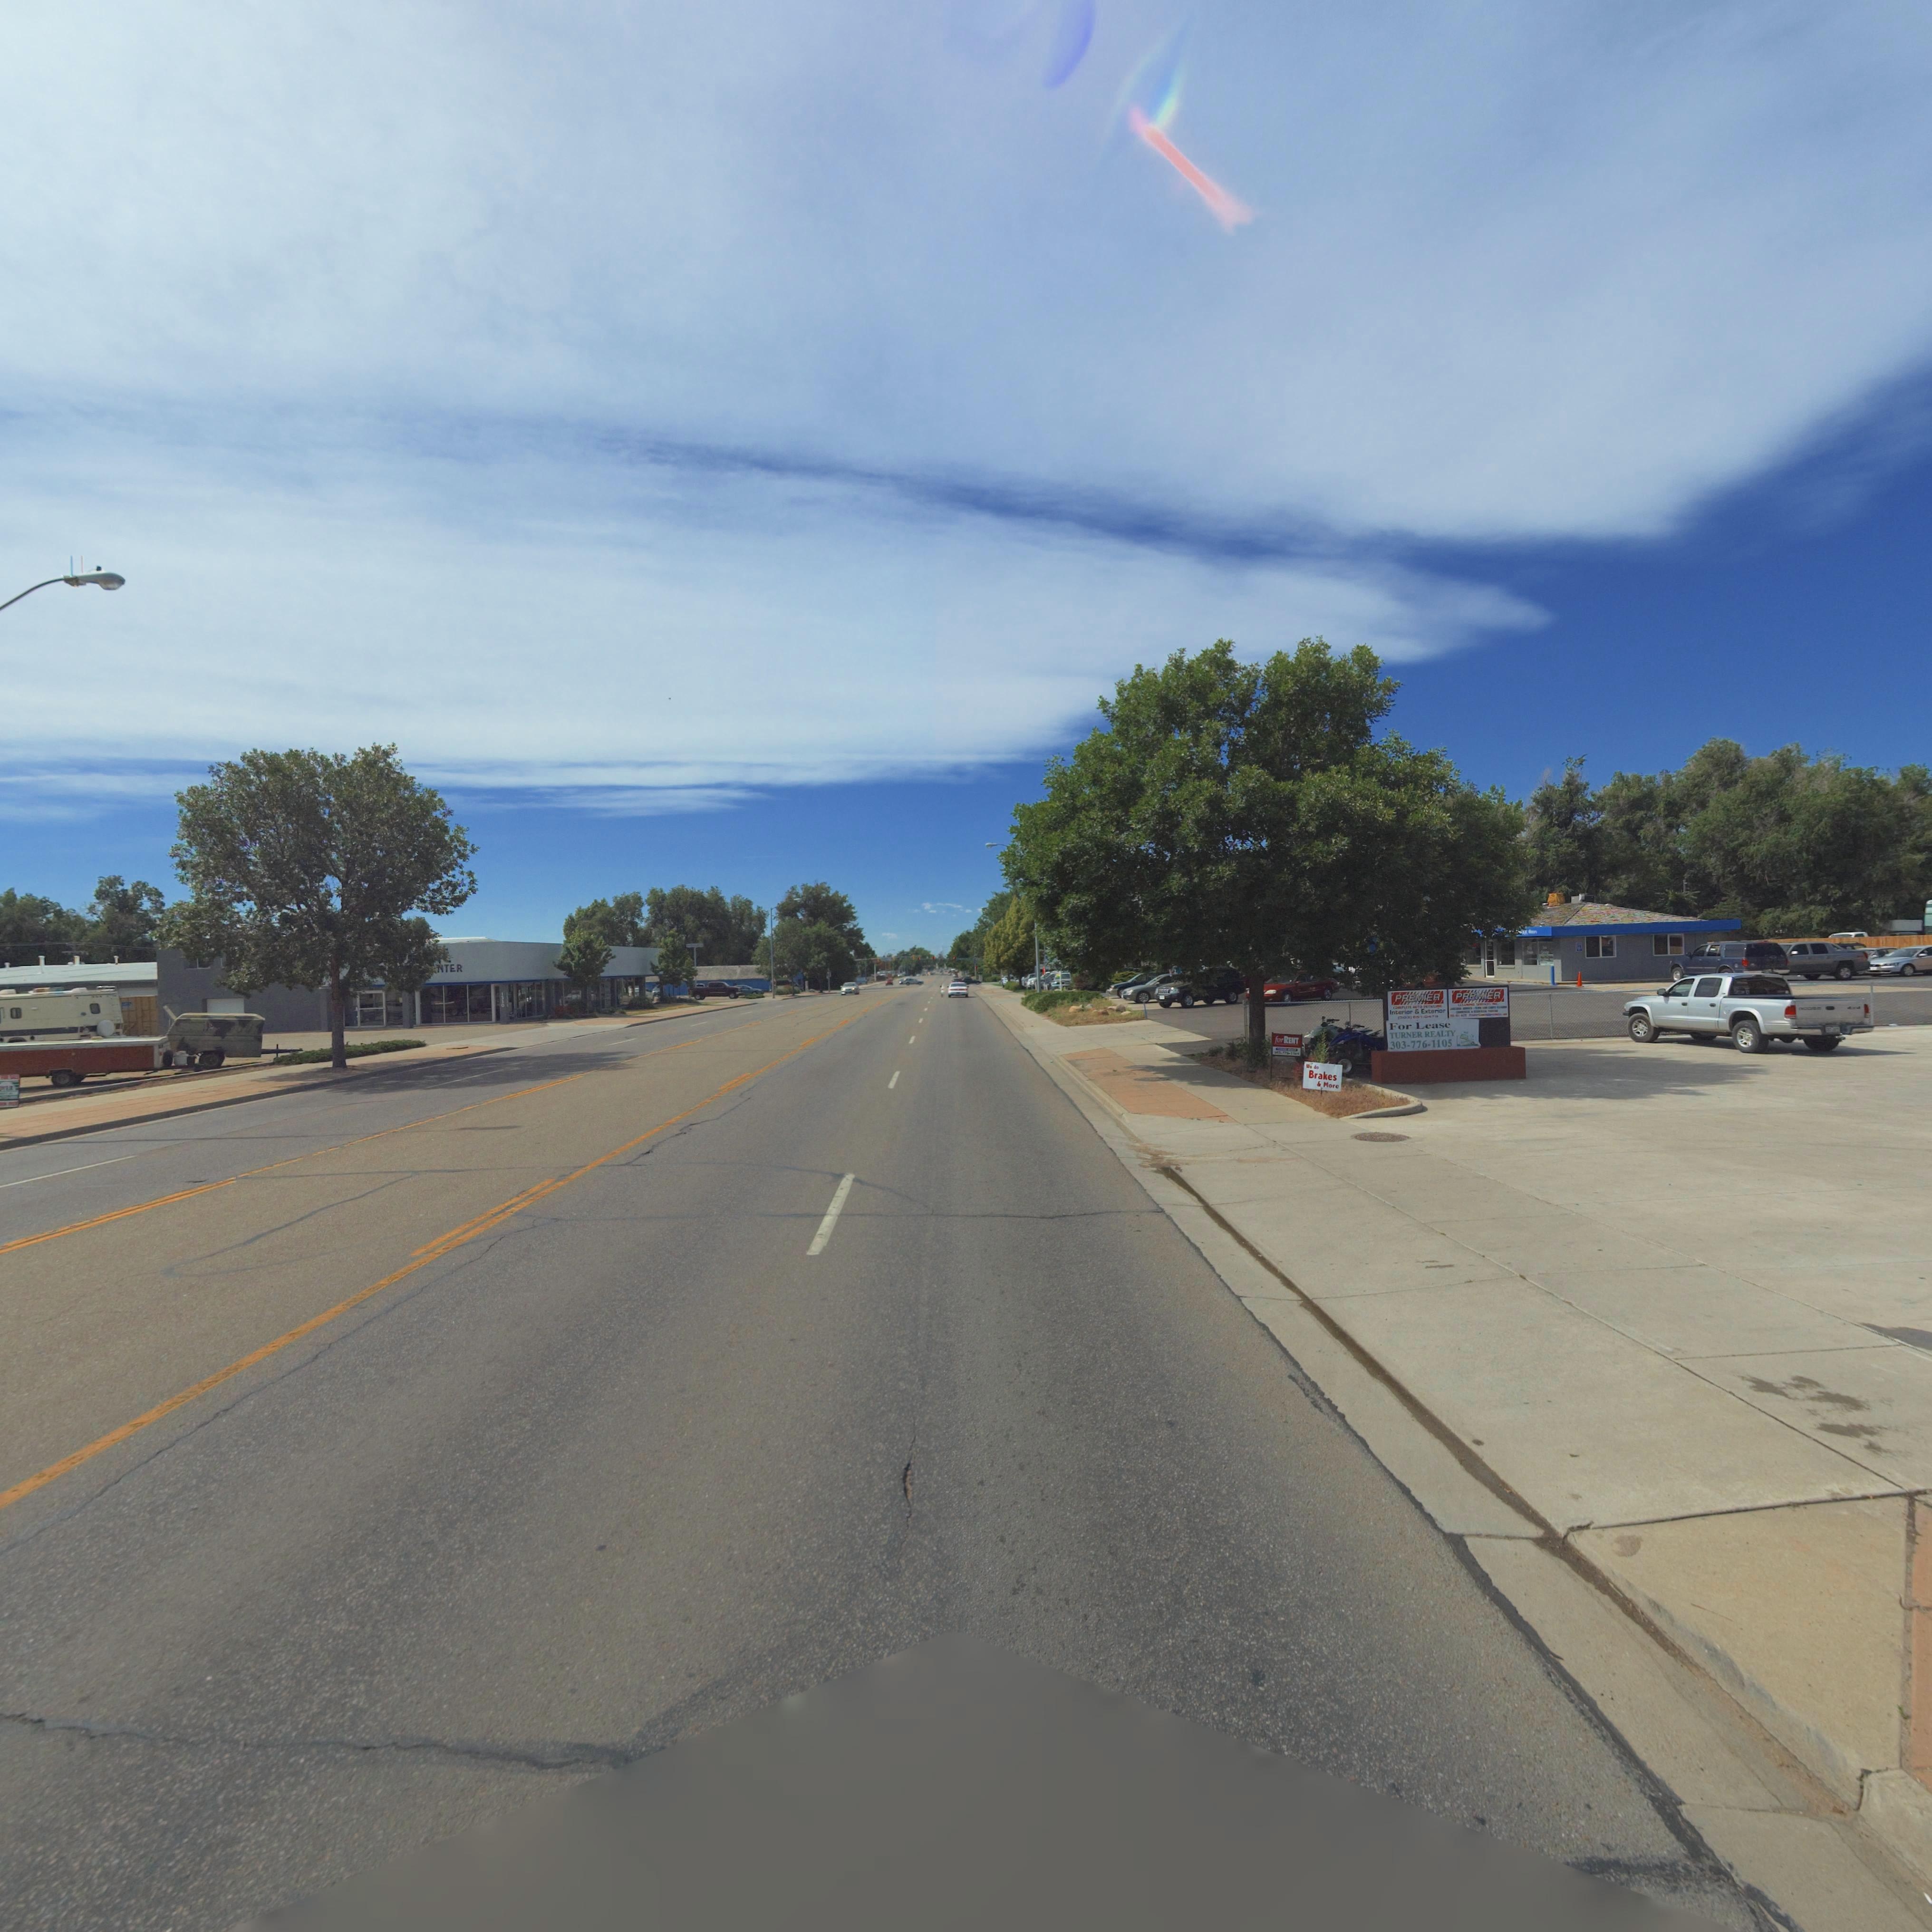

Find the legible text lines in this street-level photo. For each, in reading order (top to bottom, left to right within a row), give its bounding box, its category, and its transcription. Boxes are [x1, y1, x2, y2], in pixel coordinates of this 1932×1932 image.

[436, 964, 463, 973] BusinessName: NTER
[500, 992, 505, 1008] StreetNumber: 1510
[1394, 991, 1501, 1002] BusinessName: PREMIER PREMIER